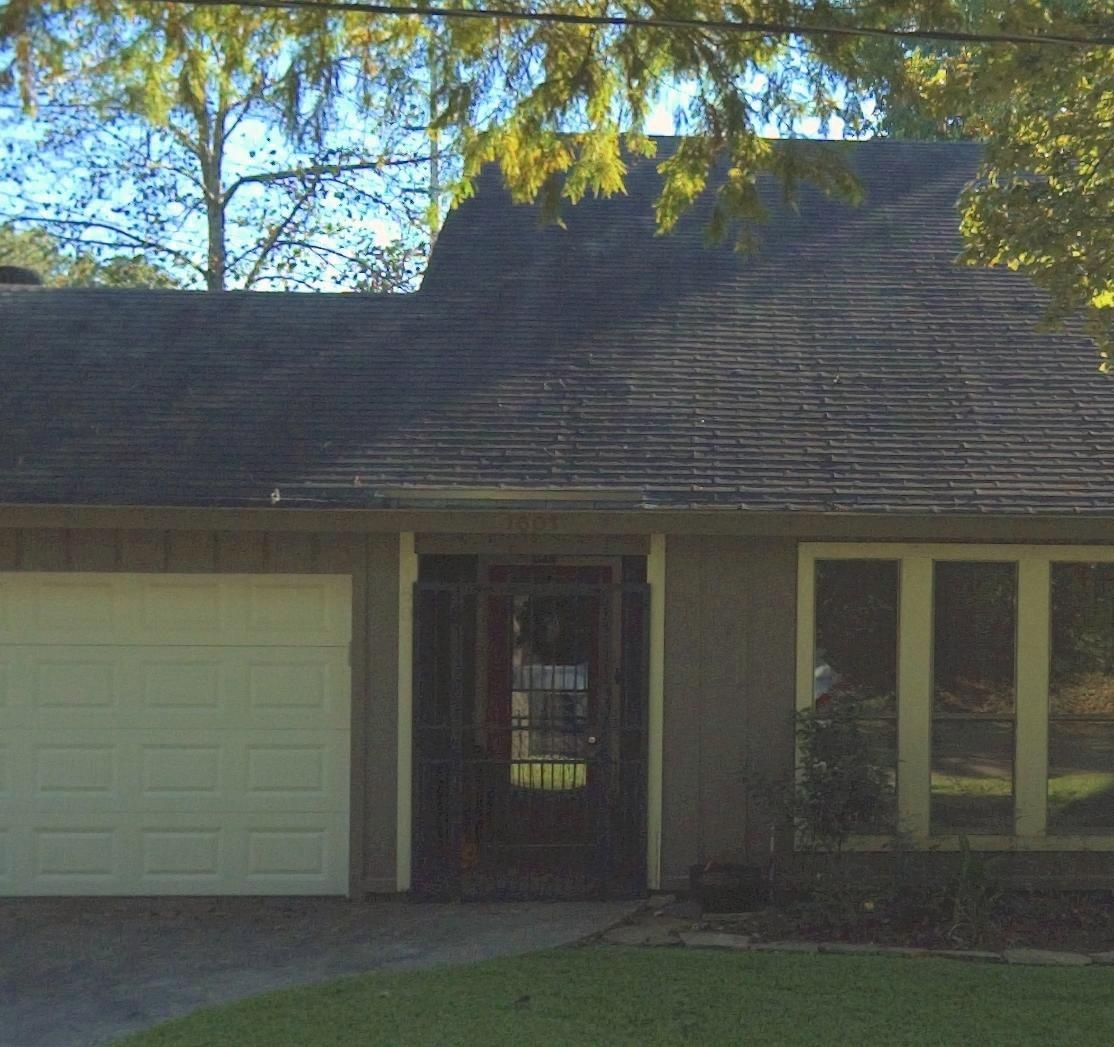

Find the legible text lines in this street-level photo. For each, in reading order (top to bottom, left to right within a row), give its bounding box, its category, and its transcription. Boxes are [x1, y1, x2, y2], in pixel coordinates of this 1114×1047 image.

[503, 511, 561, 533] StreetNumber: 1601